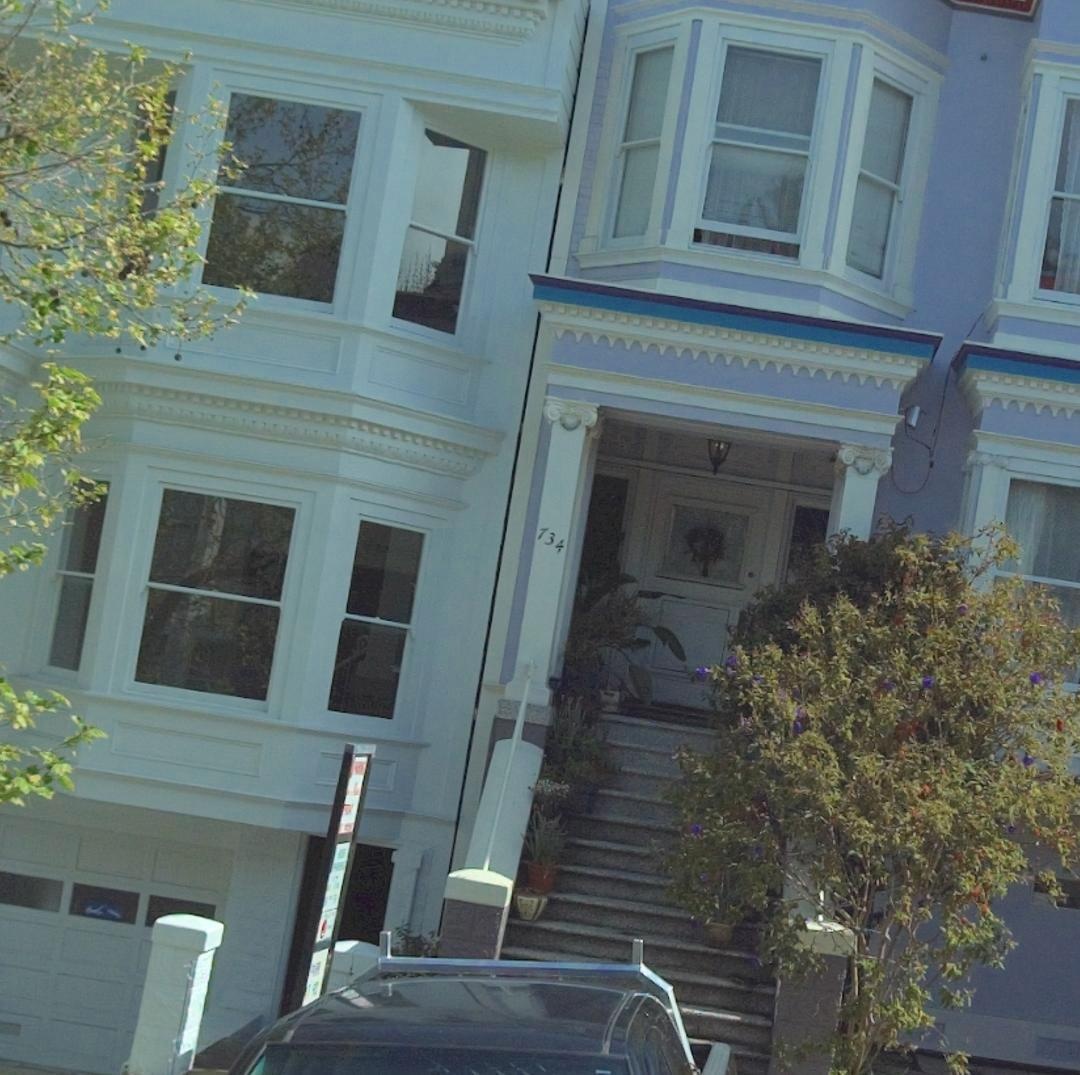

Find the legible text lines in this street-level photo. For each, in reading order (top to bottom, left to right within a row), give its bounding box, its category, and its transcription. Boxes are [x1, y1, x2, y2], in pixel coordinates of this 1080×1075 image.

[534, 525, 568, 559] StreetNumber: 734